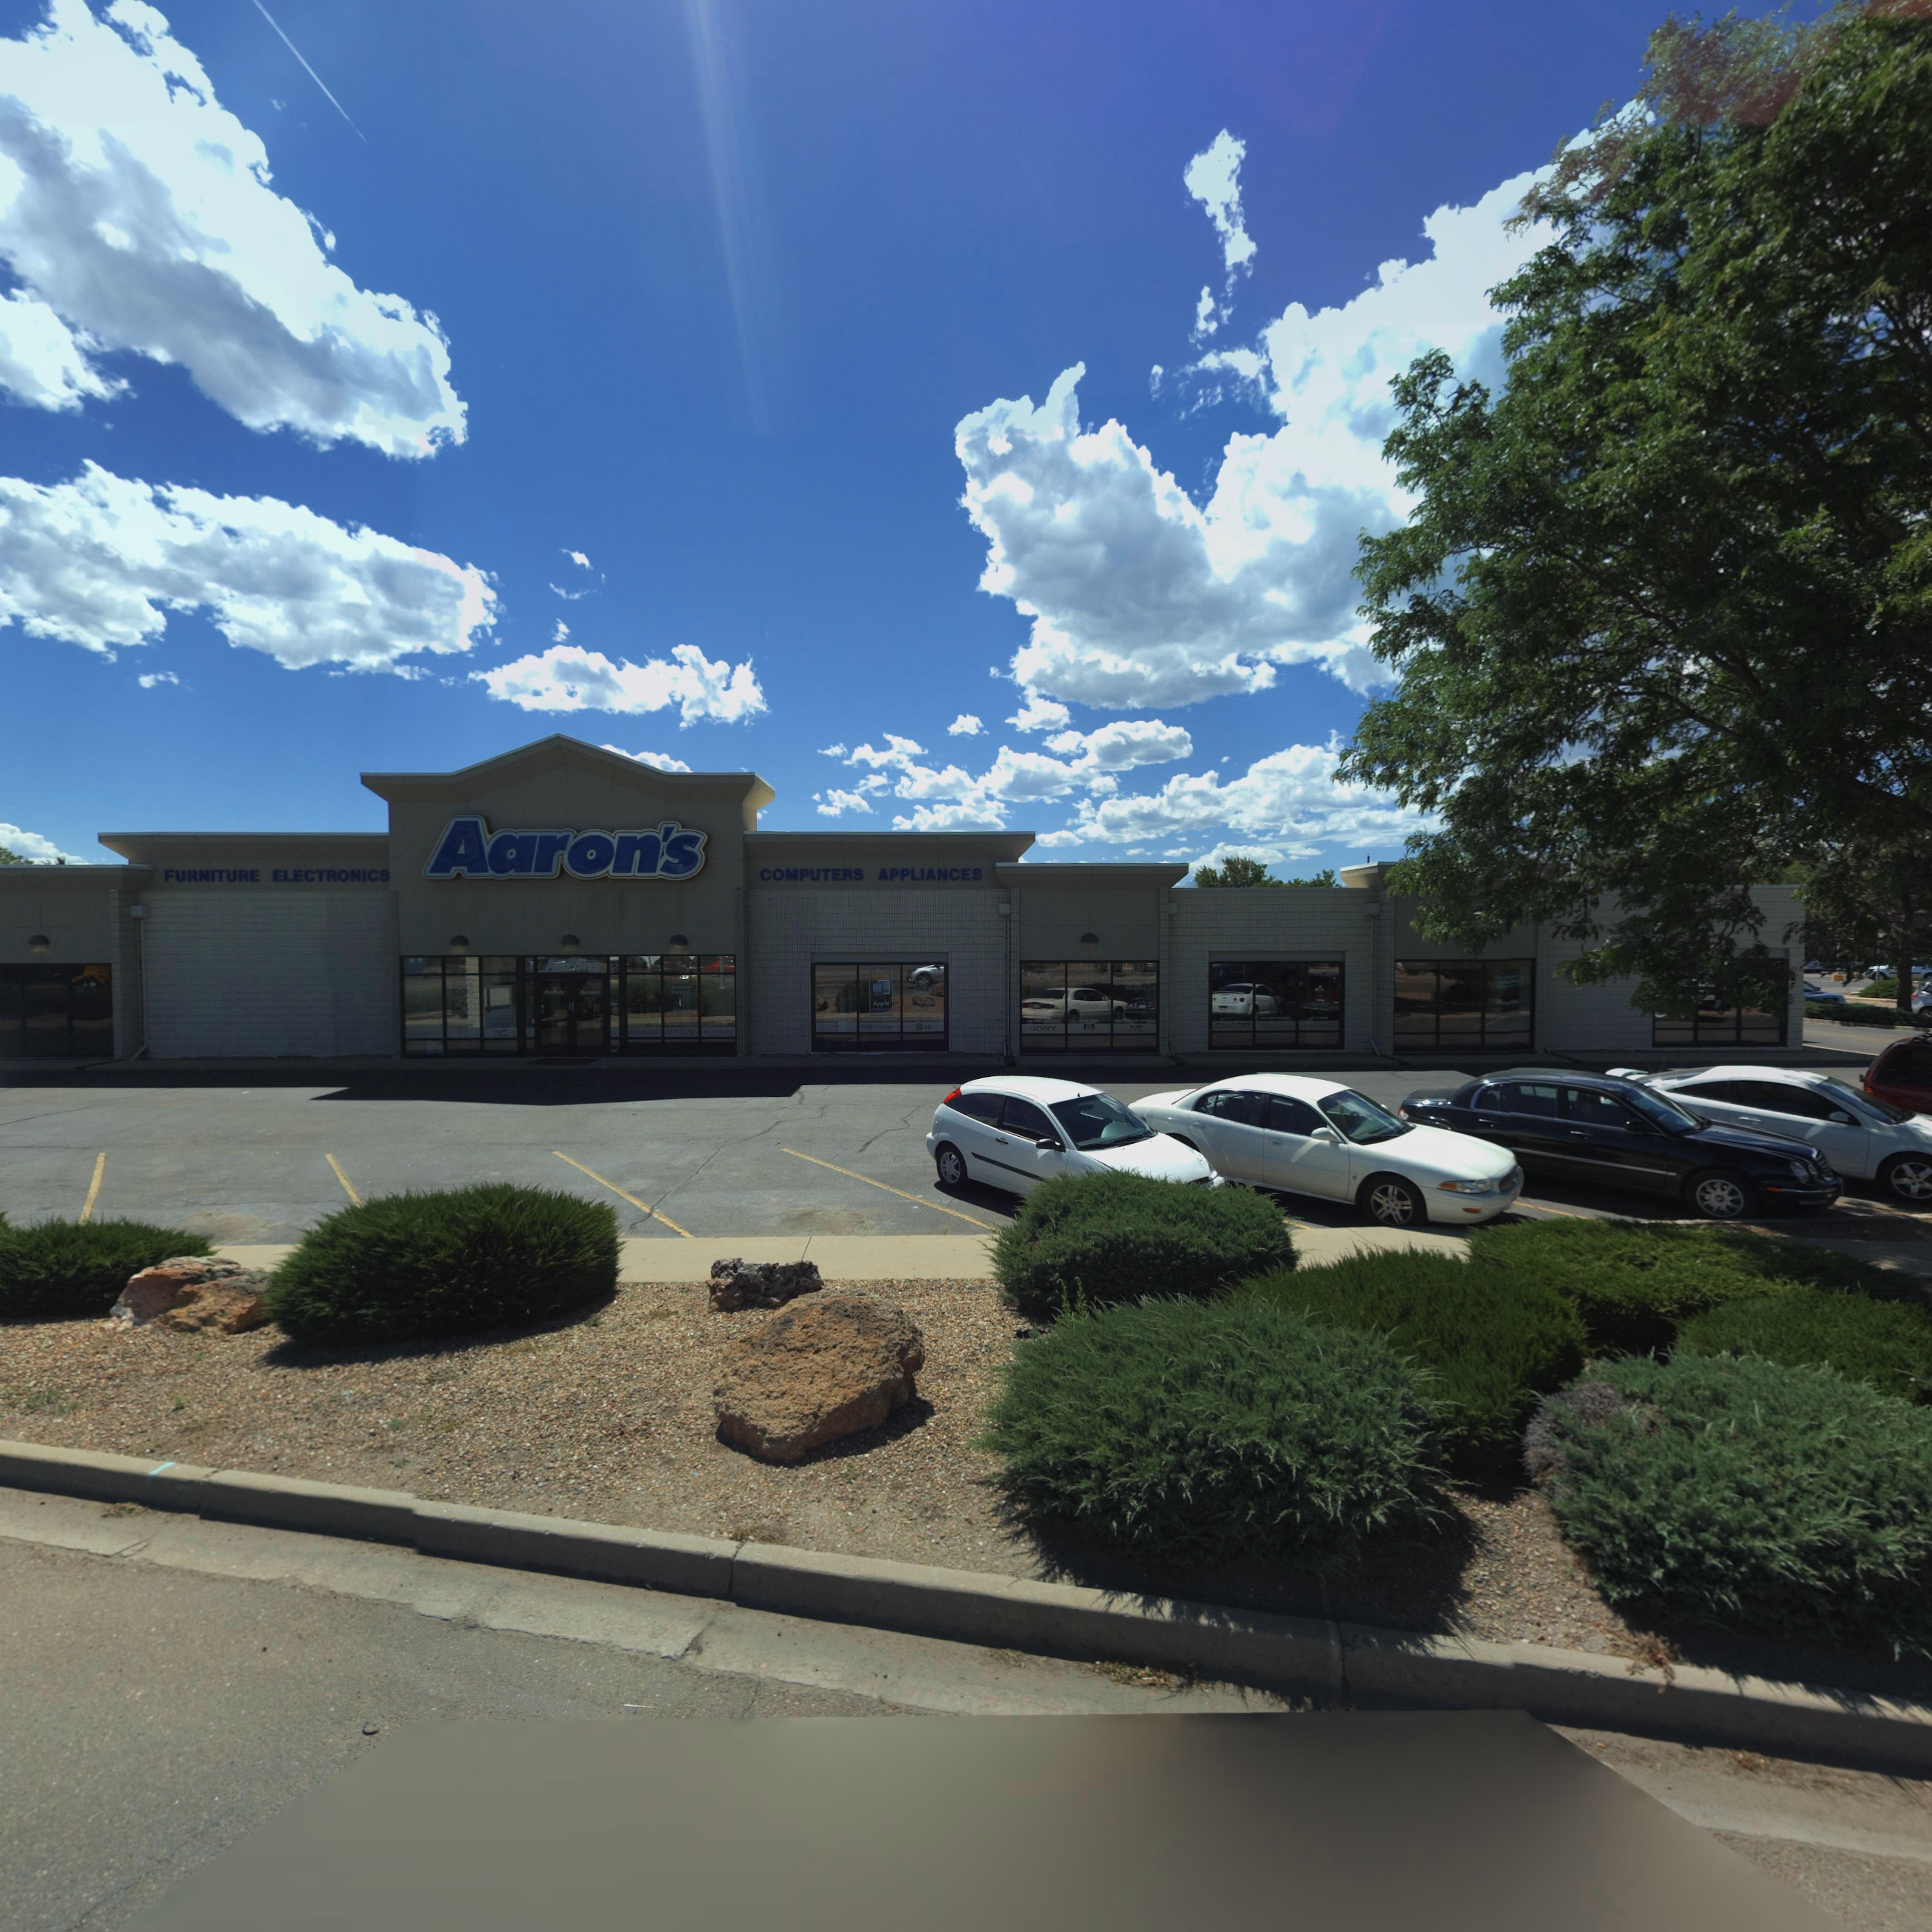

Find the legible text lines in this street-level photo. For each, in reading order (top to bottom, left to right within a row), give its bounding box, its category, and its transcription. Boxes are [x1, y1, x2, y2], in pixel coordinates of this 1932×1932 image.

[422, 814, 709, 880] BusinessName: Aaron*s
[543, 956, 602, 972] BusinessName: Aaron*s